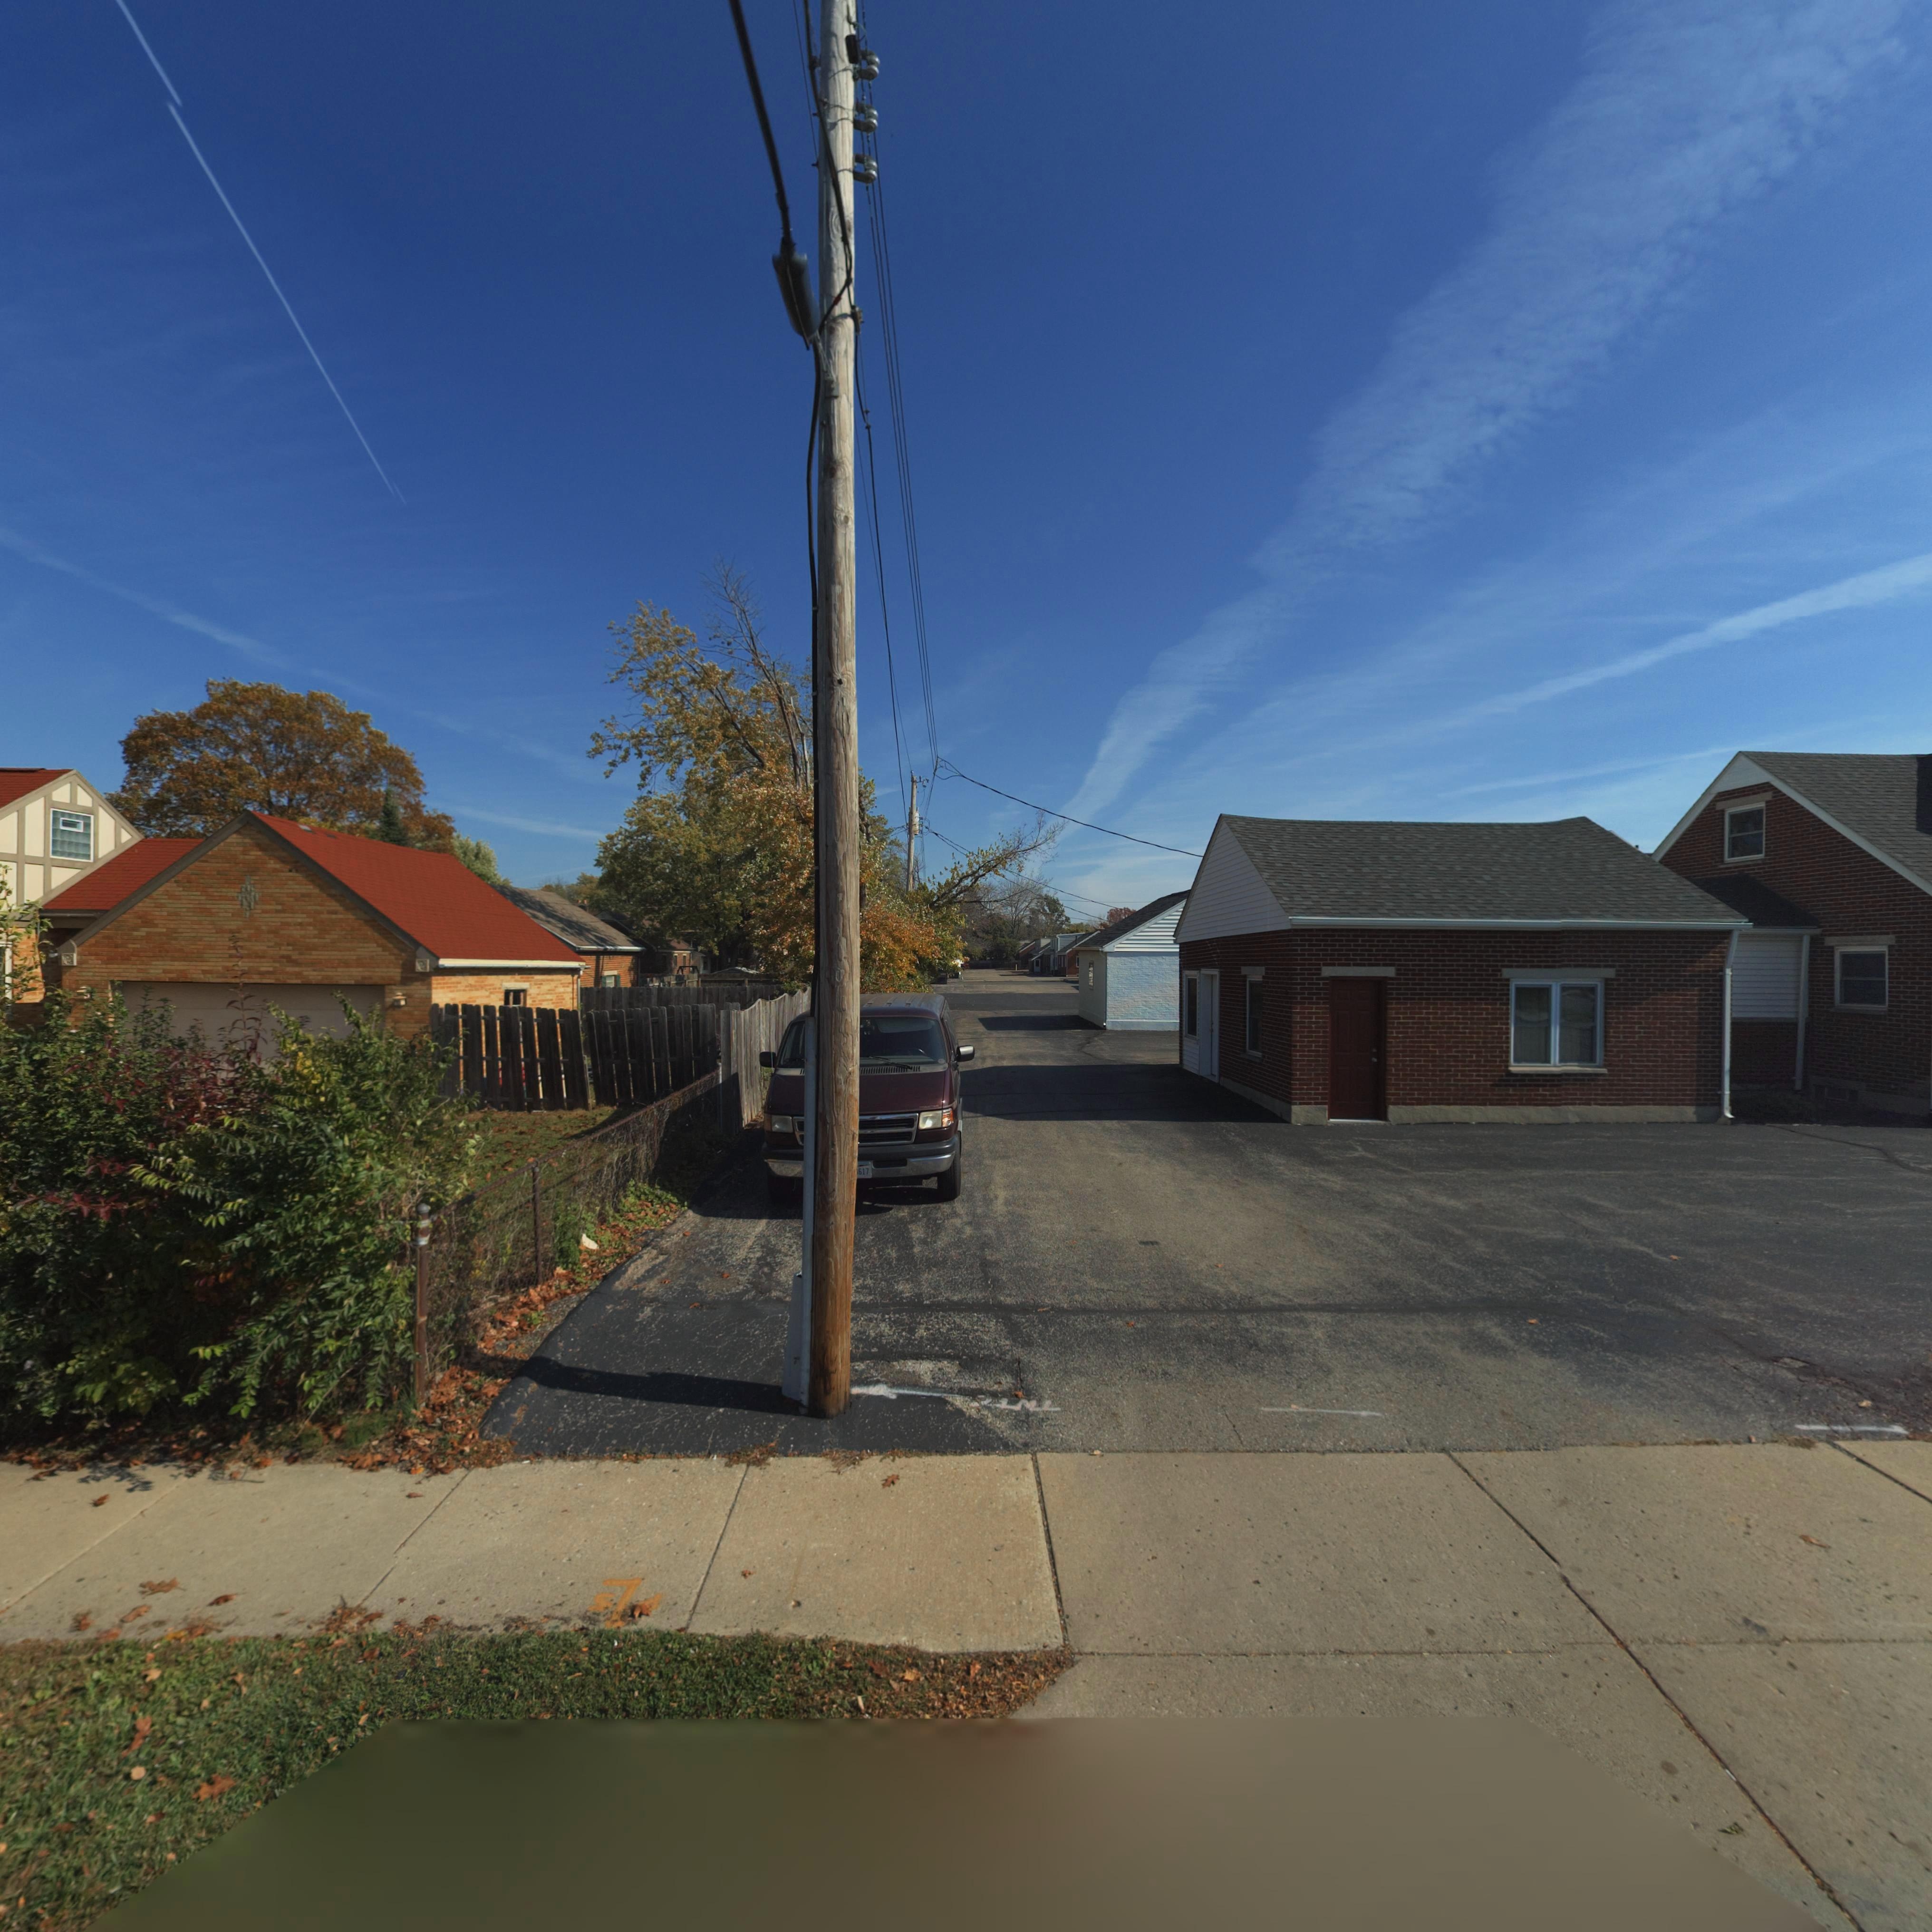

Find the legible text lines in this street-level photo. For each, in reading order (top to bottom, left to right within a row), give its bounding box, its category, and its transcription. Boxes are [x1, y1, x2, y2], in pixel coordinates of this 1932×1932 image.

[858, 1168, 870, 1176] None: 517